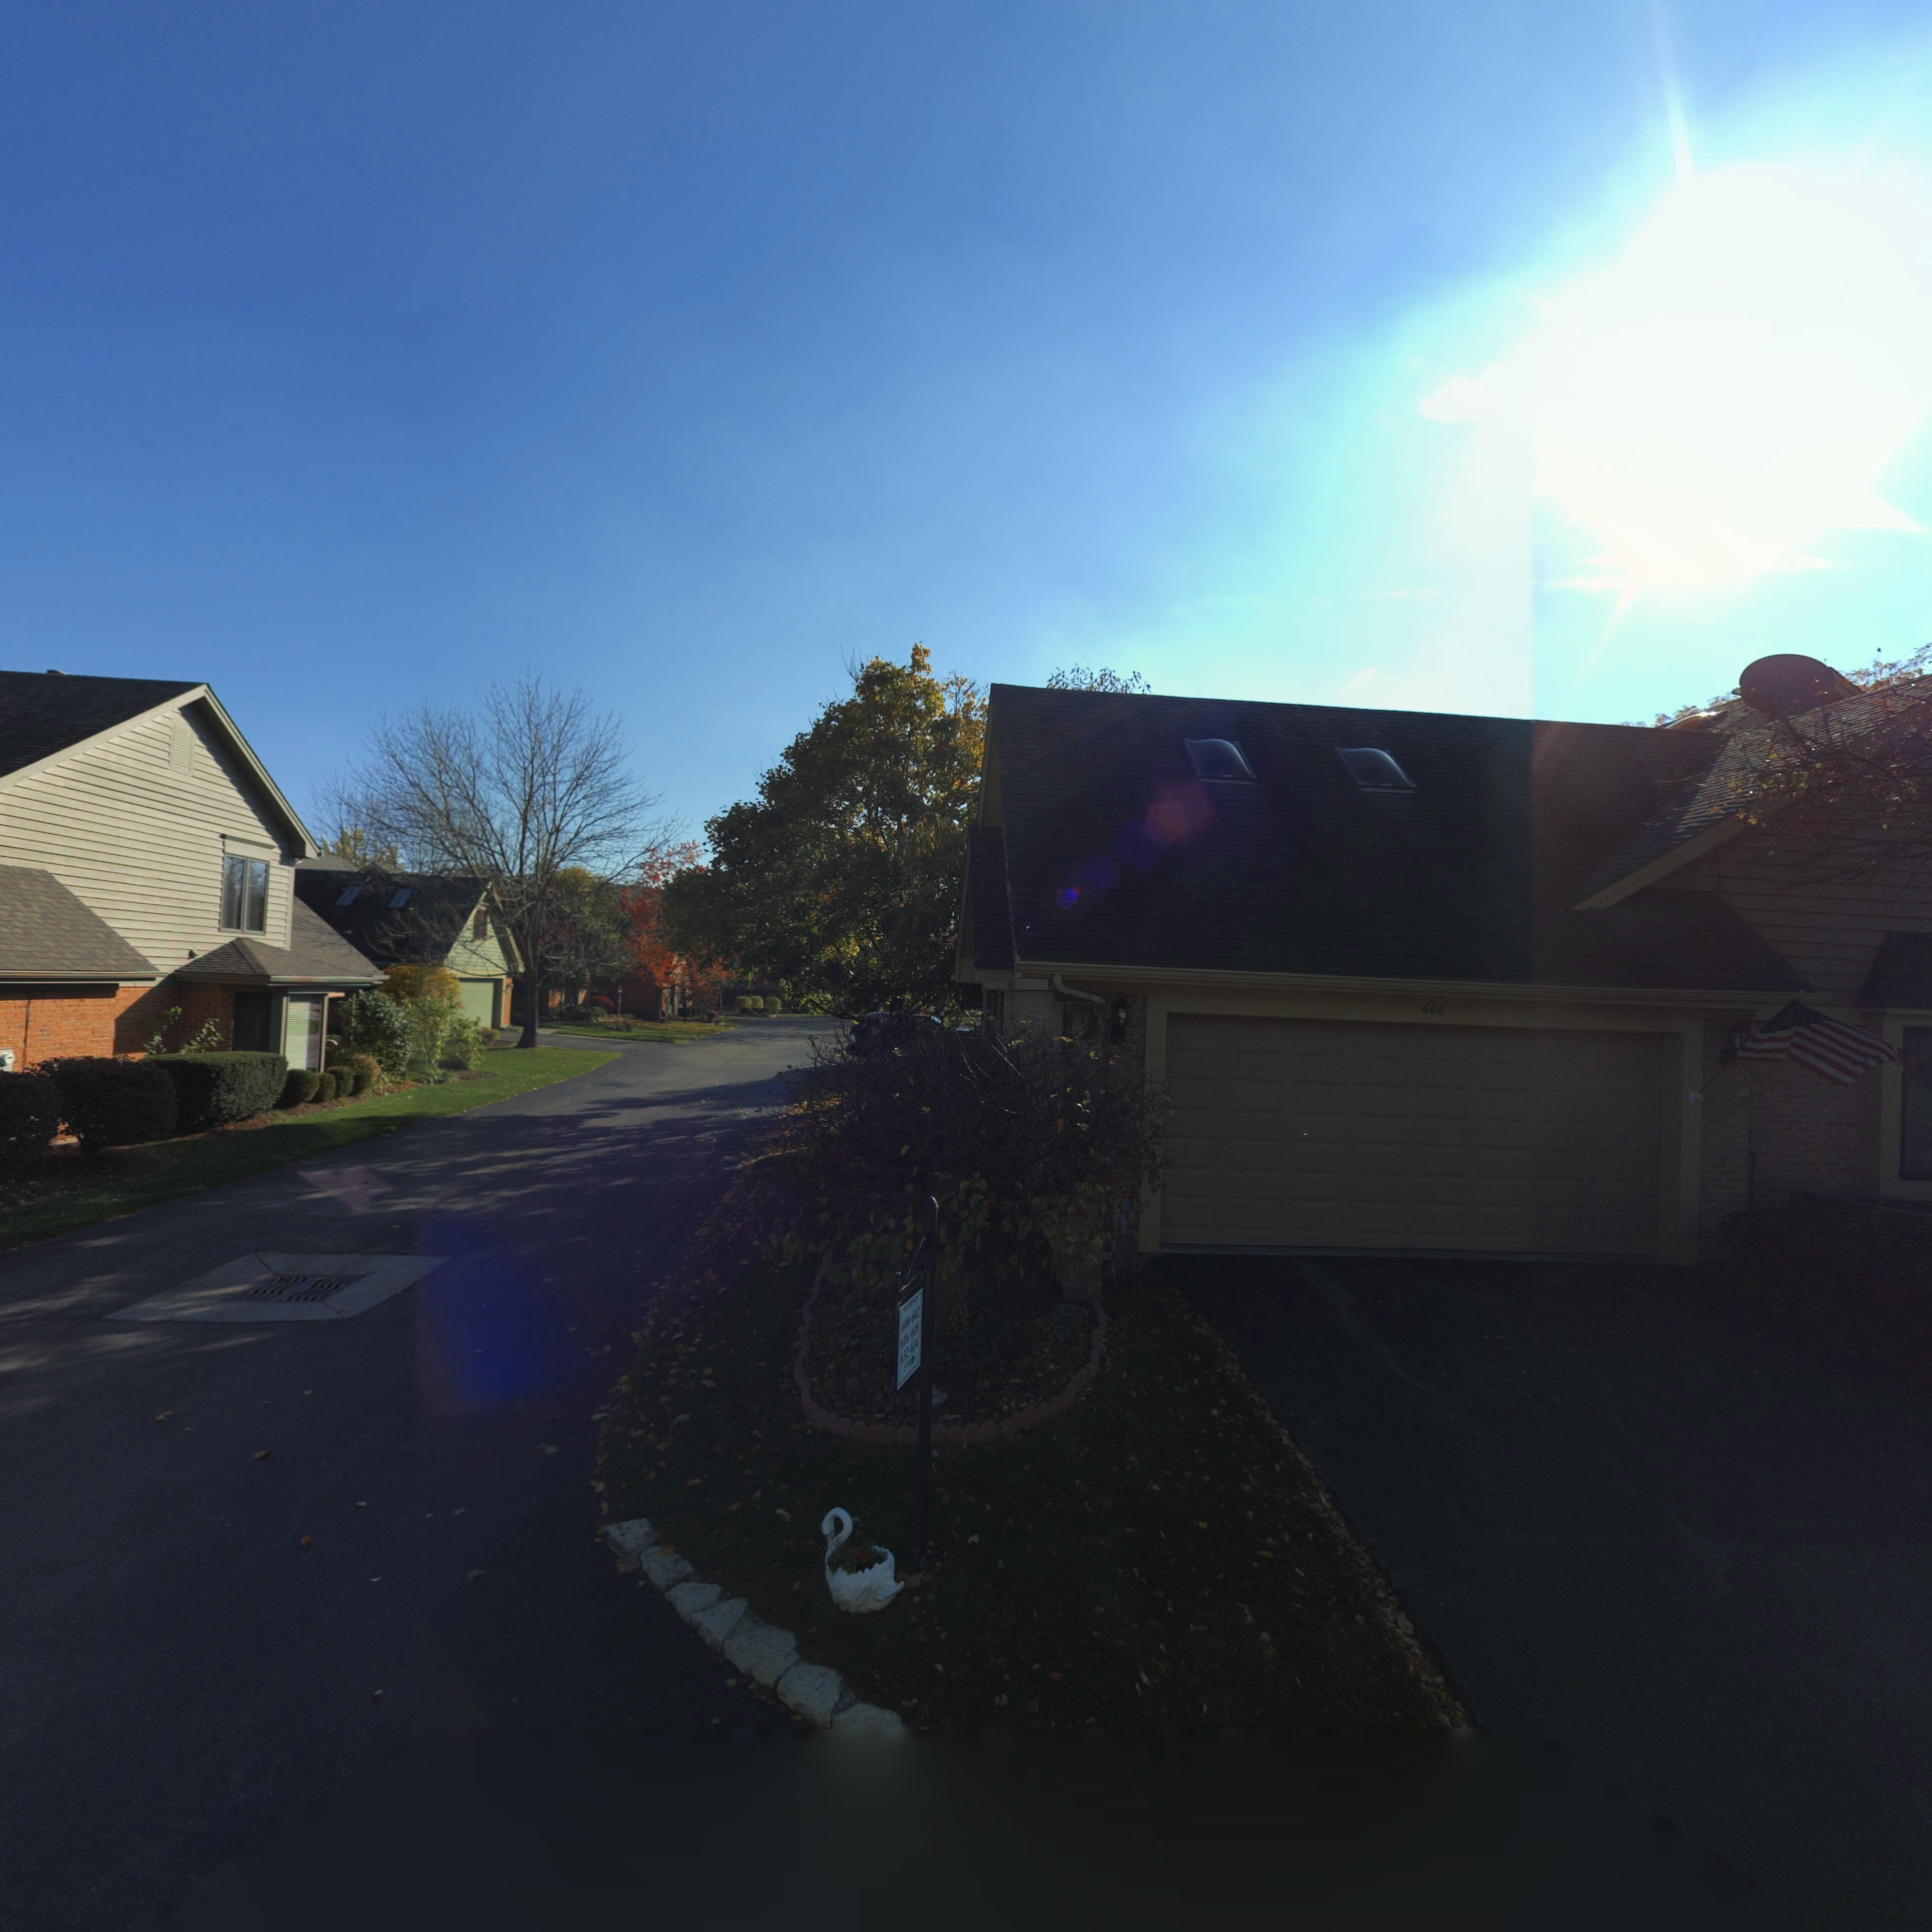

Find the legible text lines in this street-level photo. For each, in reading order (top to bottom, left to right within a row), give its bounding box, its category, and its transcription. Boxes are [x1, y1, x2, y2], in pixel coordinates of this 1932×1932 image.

[1420, 1003, 1447, 1016] StreetNumber: 600
[911, 1305, 920, 1324] StreetNumber: 602
[901, 1315, 910, 1334] StreetNumber: 600
[910, 1320, 919, 1339] StreetNumber: 618
[900, 1330, 909, 1350] StreetNumber: 616
[910, 1335, 919, 1354] StreetNumber: 634
[899, 1346, 909, 1366] StreetNumber: 632